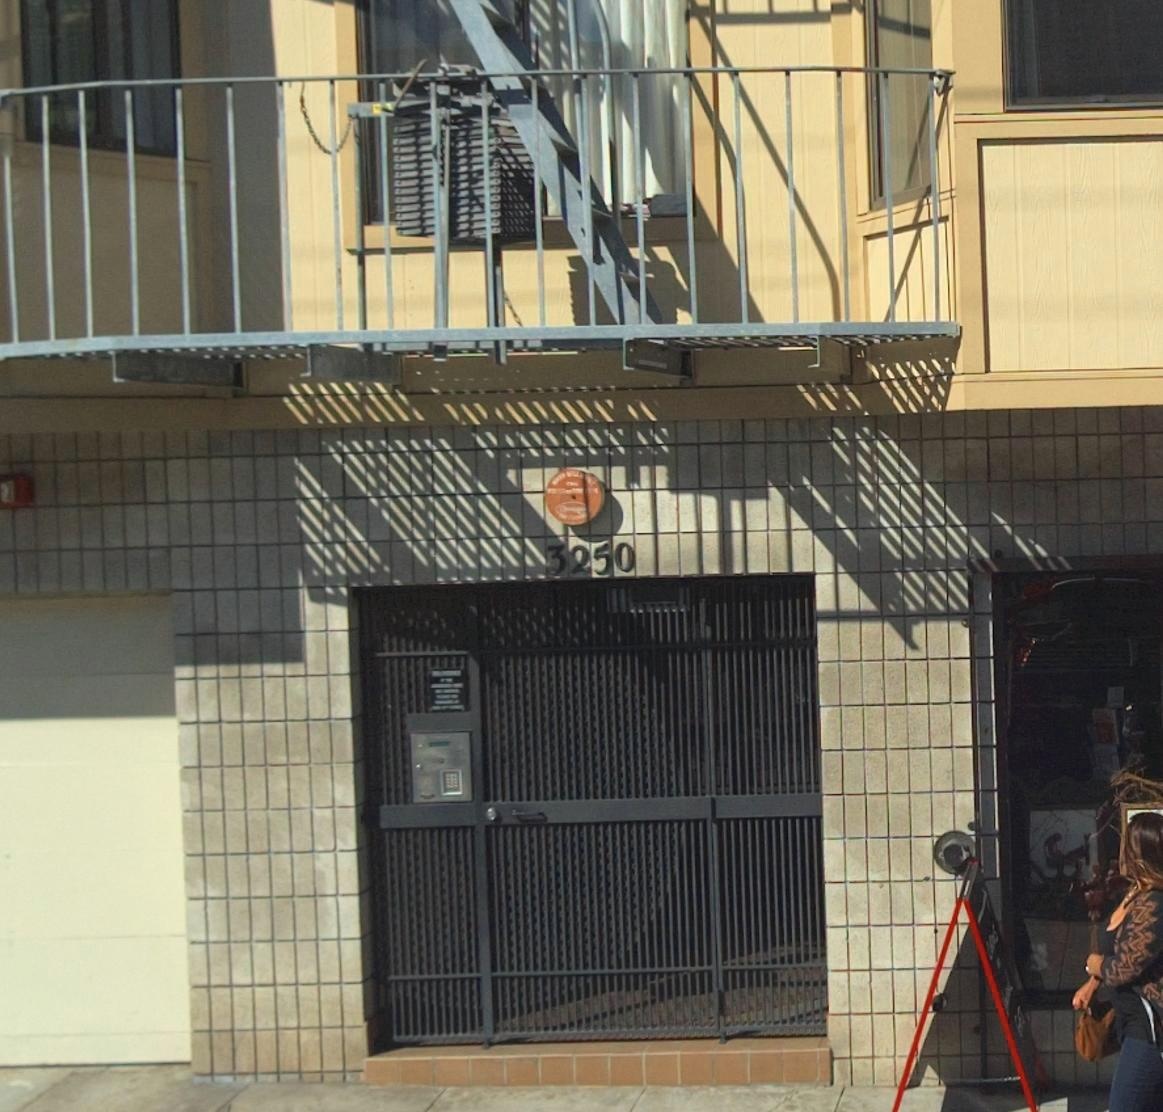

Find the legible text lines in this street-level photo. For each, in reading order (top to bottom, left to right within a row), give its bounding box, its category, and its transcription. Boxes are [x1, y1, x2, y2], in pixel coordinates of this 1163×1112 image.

[545, 540, 637, 576] StreetNumber: 3250